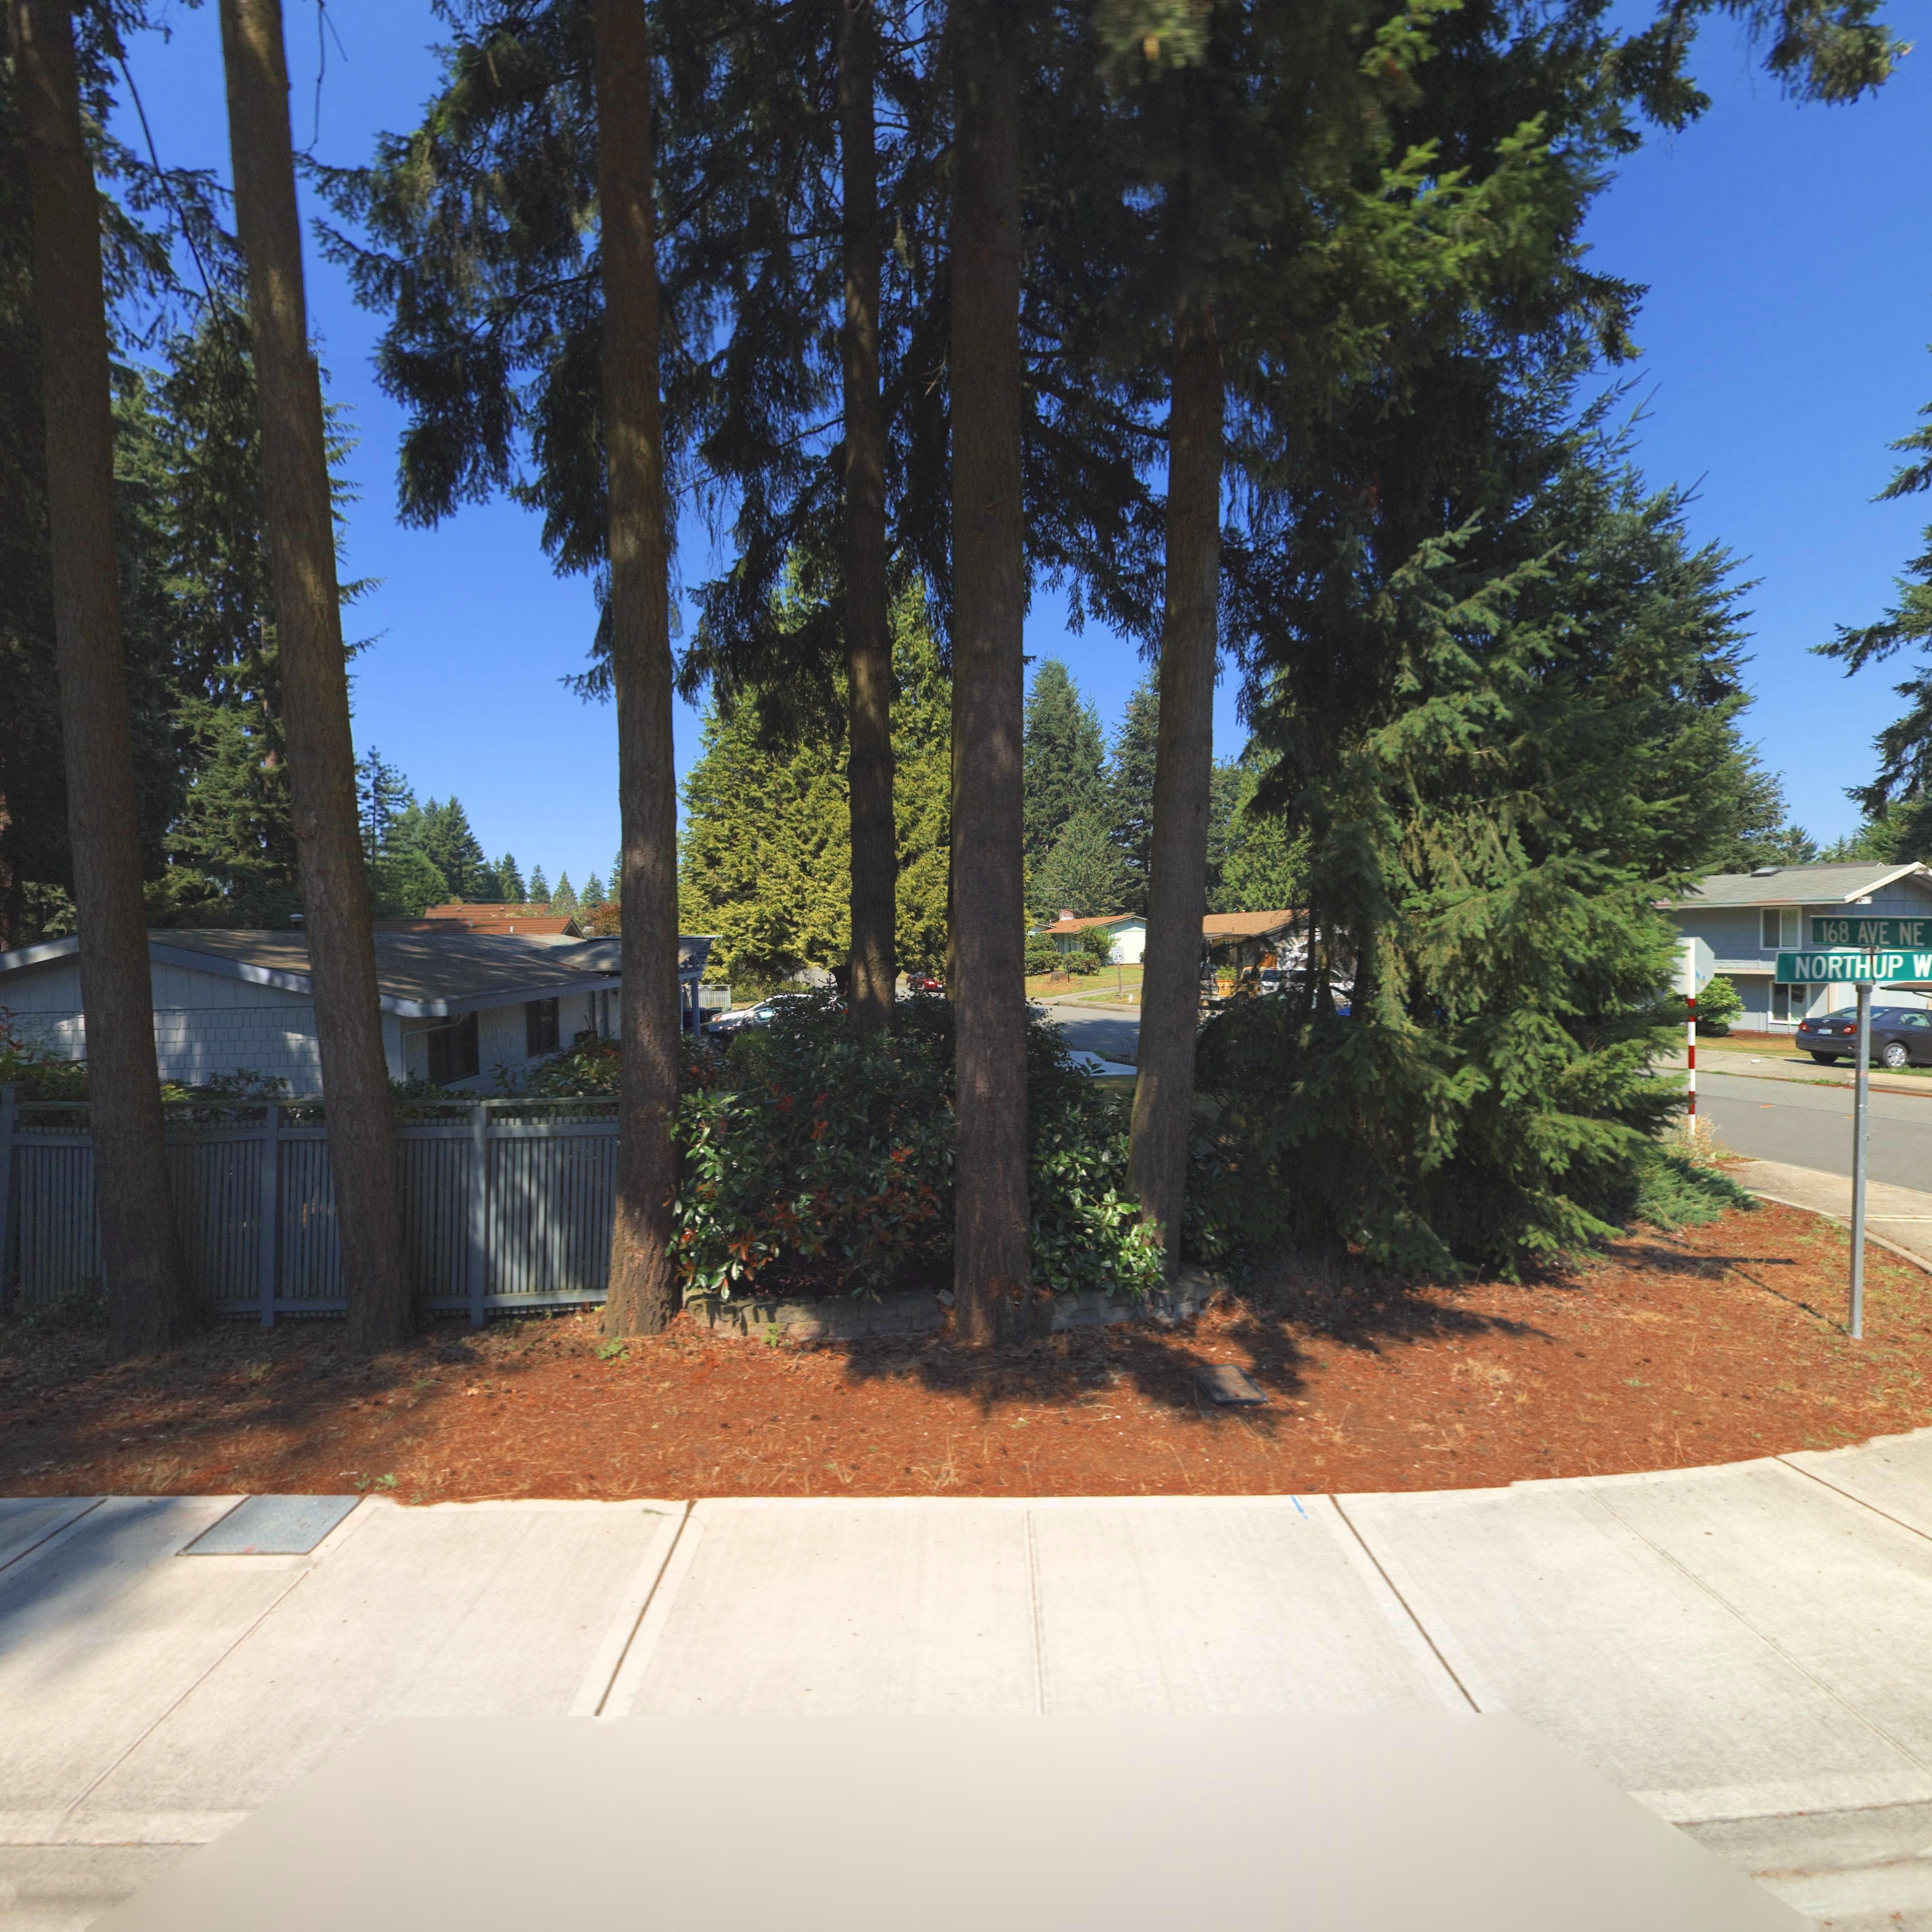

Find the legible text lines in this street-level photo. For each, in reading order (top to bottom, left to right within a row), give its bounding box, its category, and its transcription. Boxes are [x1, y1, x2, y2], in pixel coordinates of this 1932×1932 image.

[1821, 920, 1925, 947] StreetName: 168 AVE NE
[1794, 954, 1932, 980] StreetName: NORTHUP W